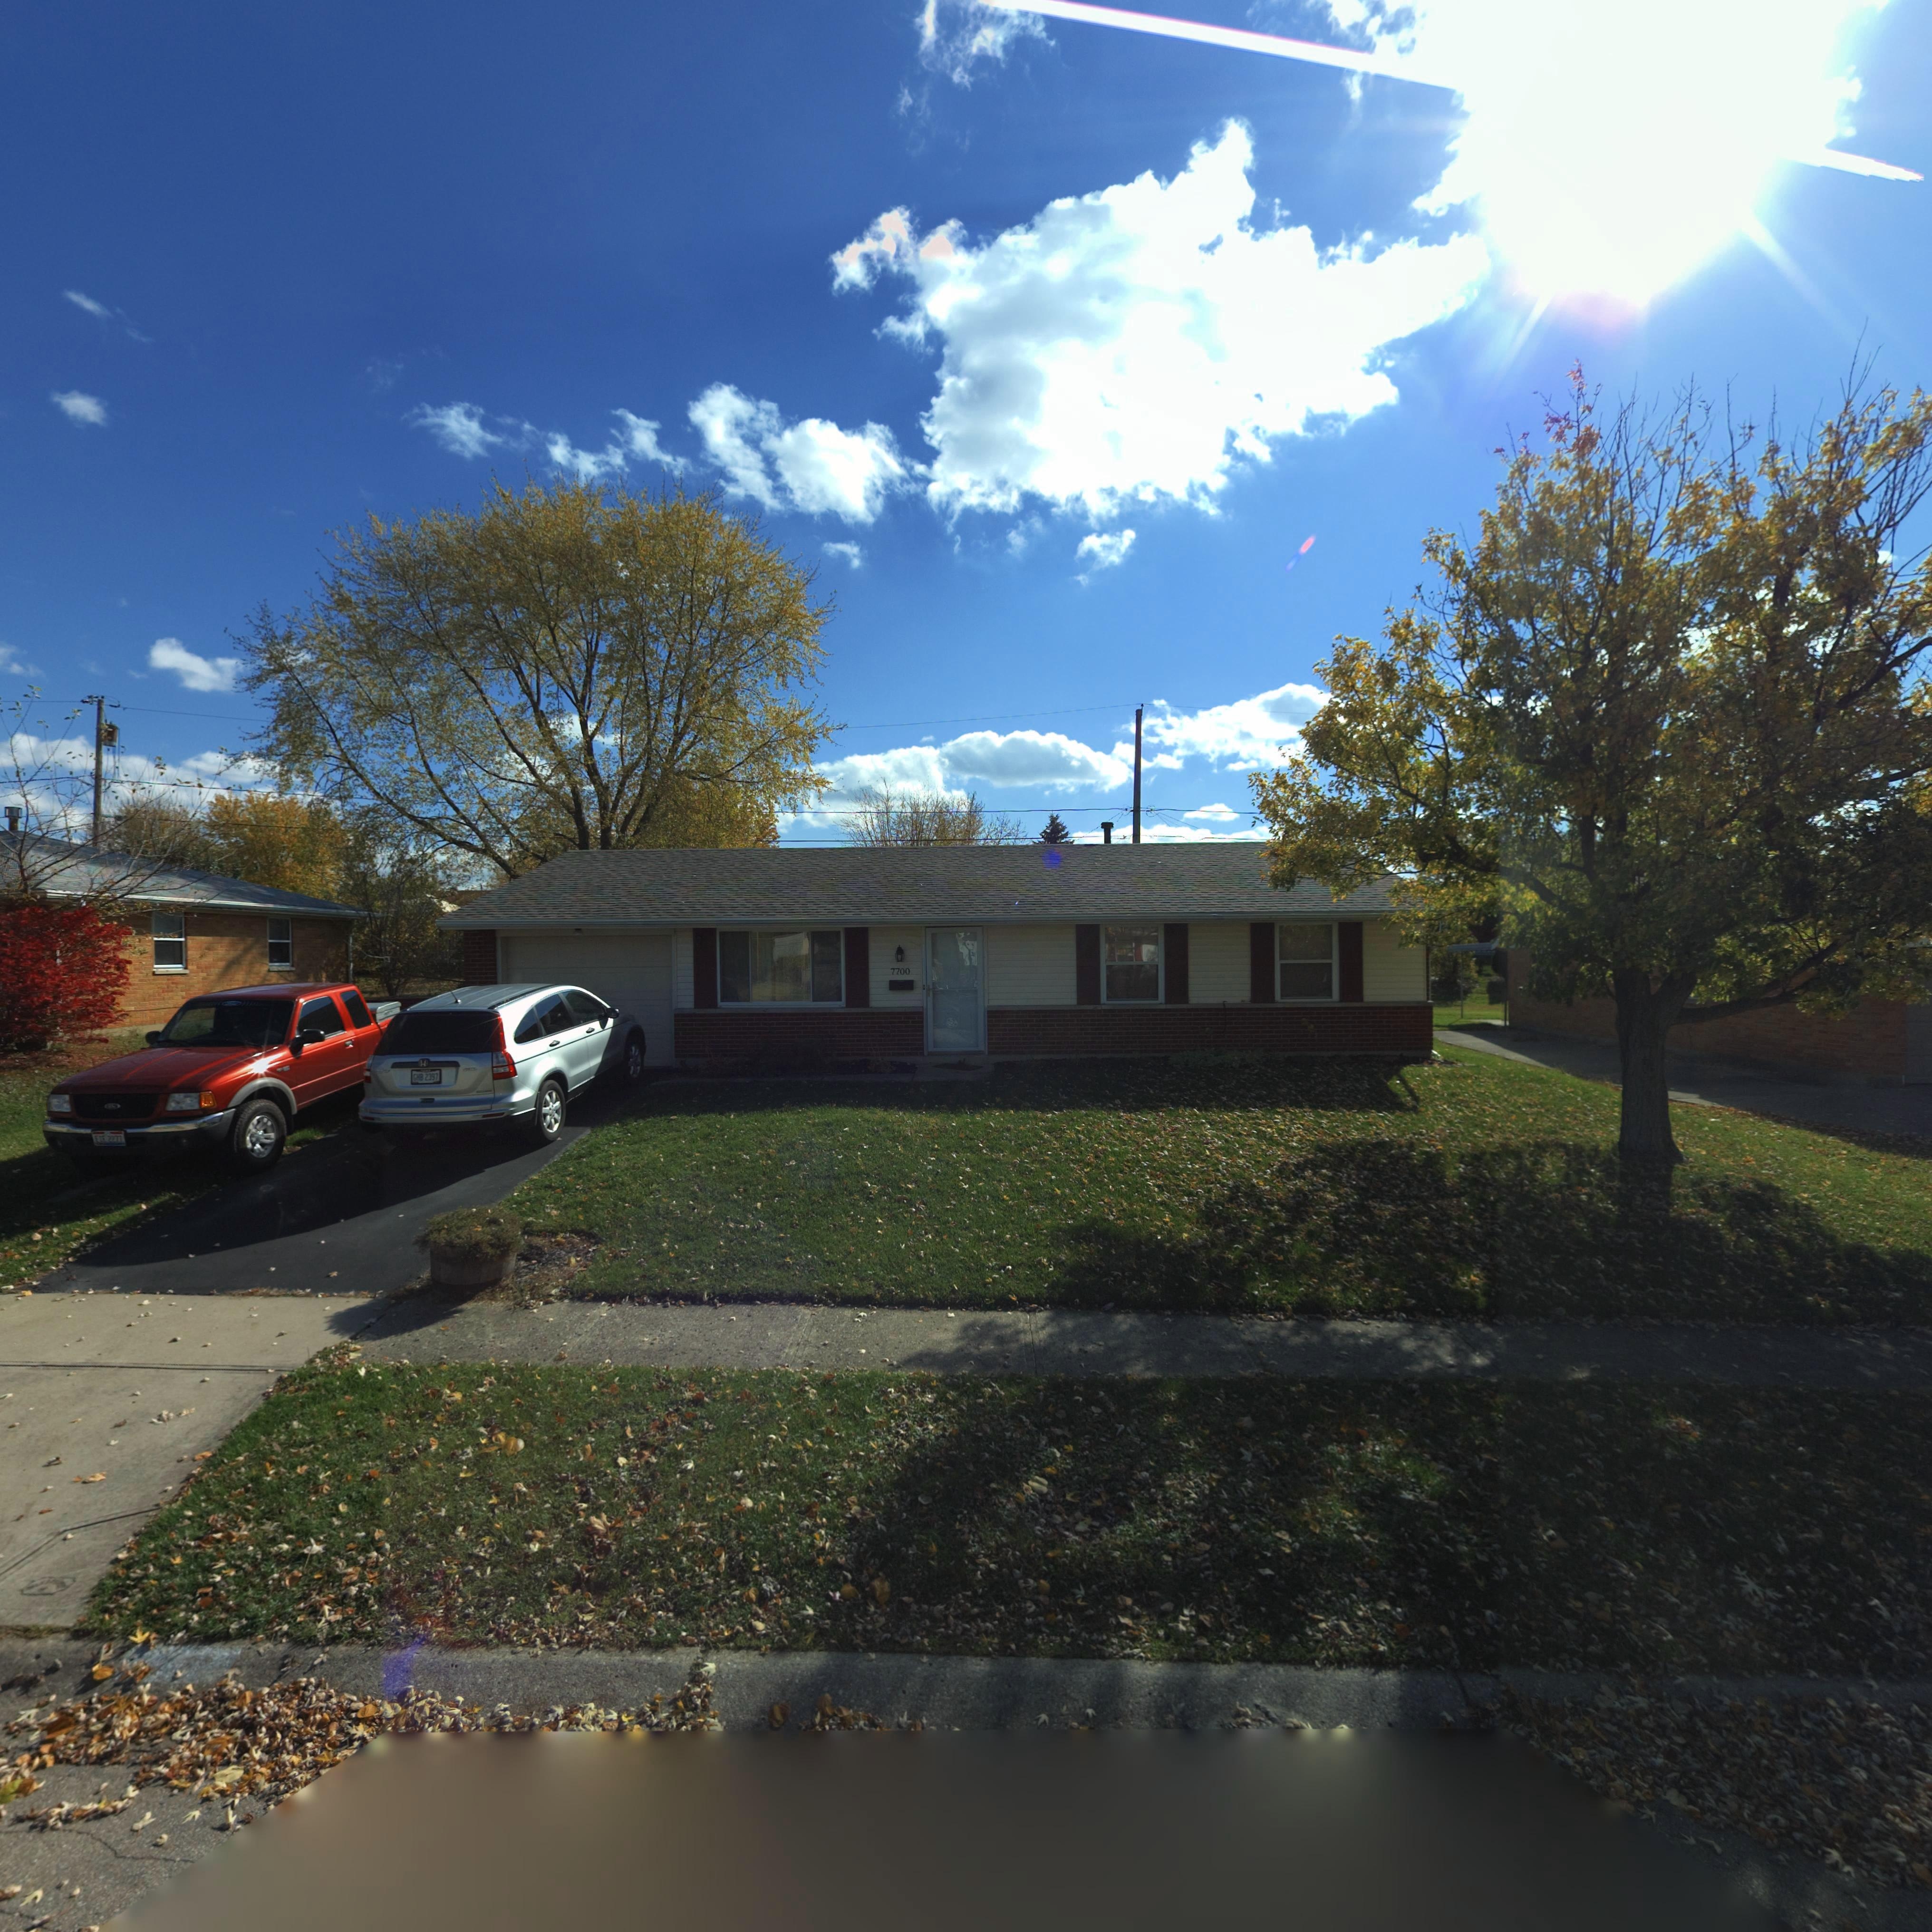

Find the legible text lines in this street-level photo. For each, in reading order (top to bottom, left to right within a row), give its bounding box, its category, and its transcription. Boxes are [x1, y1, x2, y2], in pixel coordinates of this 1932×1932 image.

[890, 967, 910, 975] StreetNumber: 7700